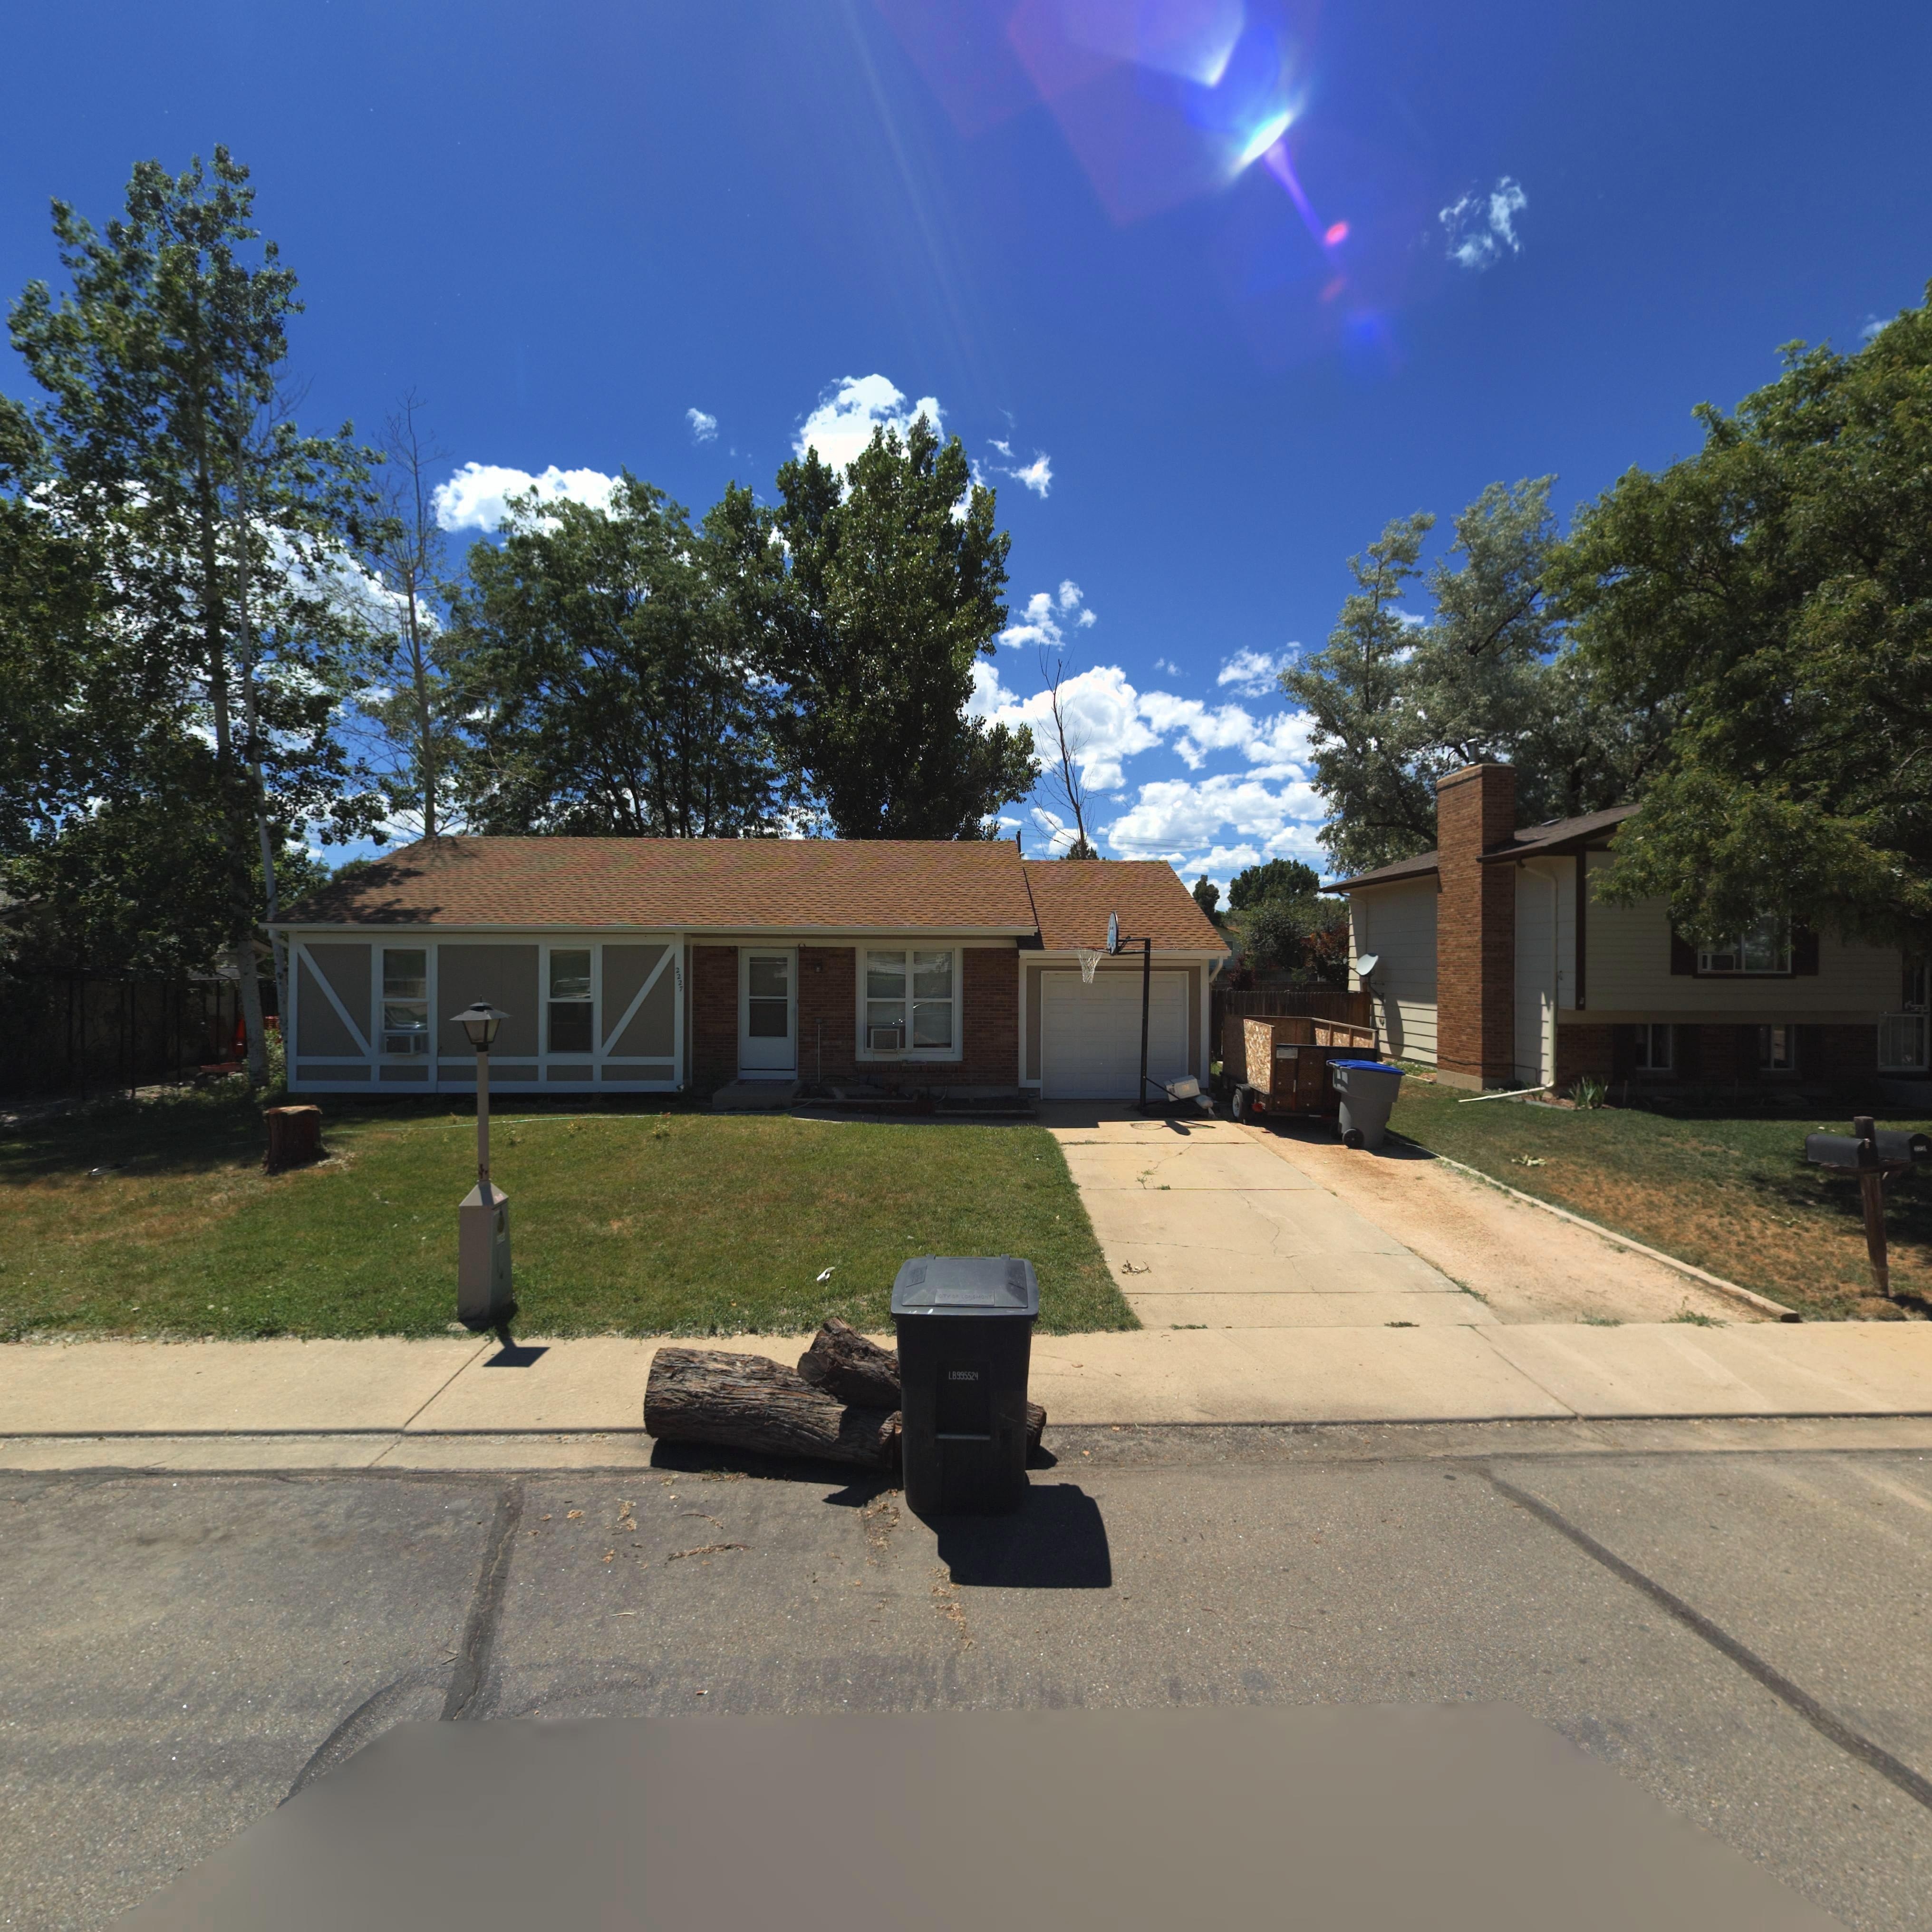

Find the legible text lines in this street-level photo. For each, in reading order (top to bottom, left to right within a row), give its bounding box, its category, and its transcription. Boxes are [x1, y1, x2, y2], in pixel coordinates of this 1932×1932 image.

[675, 966, 684, 992] StreetNumber: 2227